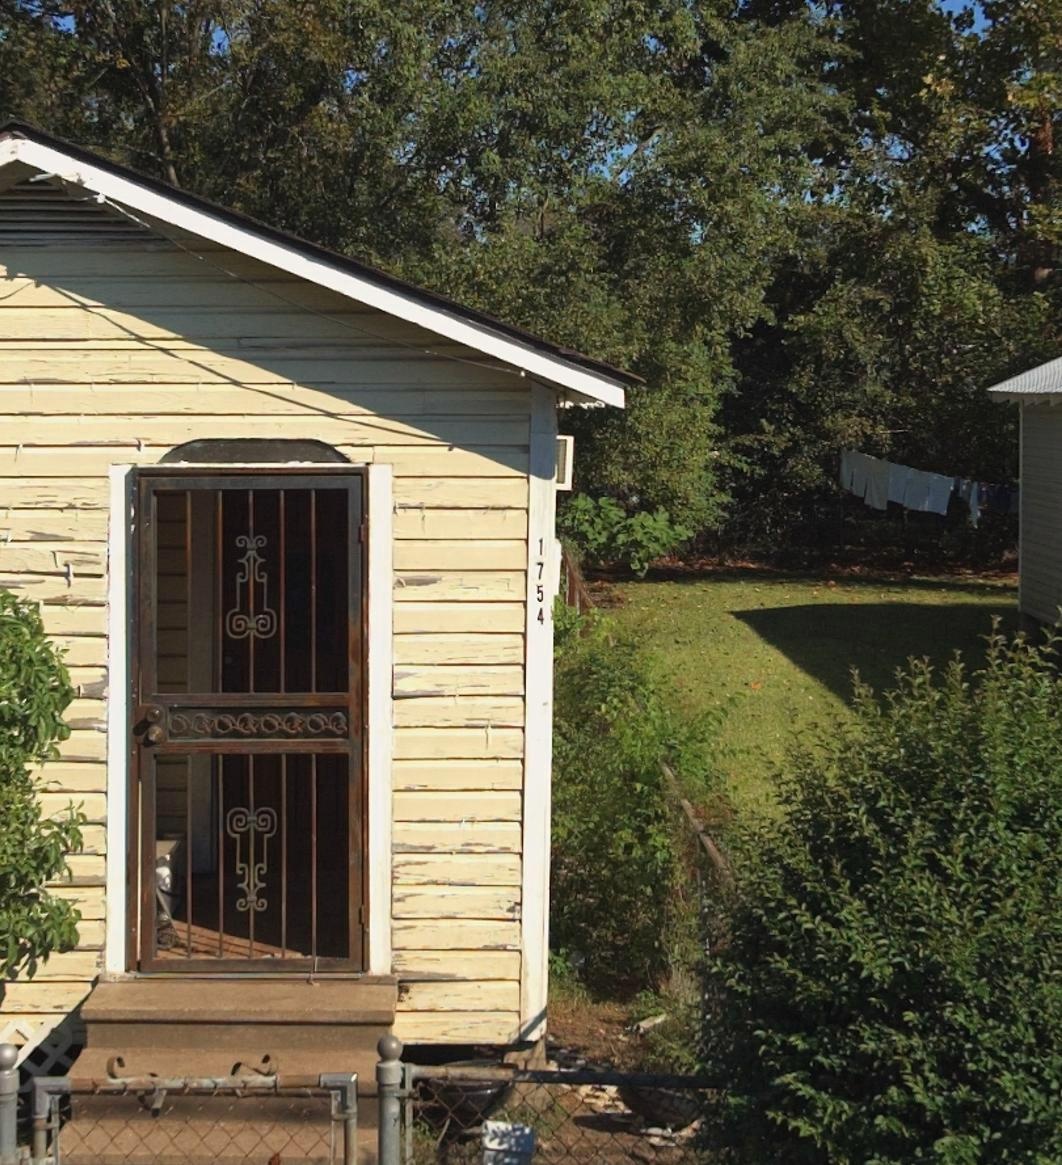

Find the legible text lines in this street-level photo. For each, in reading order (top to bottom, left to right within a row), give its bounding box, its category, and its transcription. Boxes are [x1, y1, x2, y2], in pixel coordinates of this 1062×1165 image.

[534, 535, 546, 628] StreetNumber: 1754